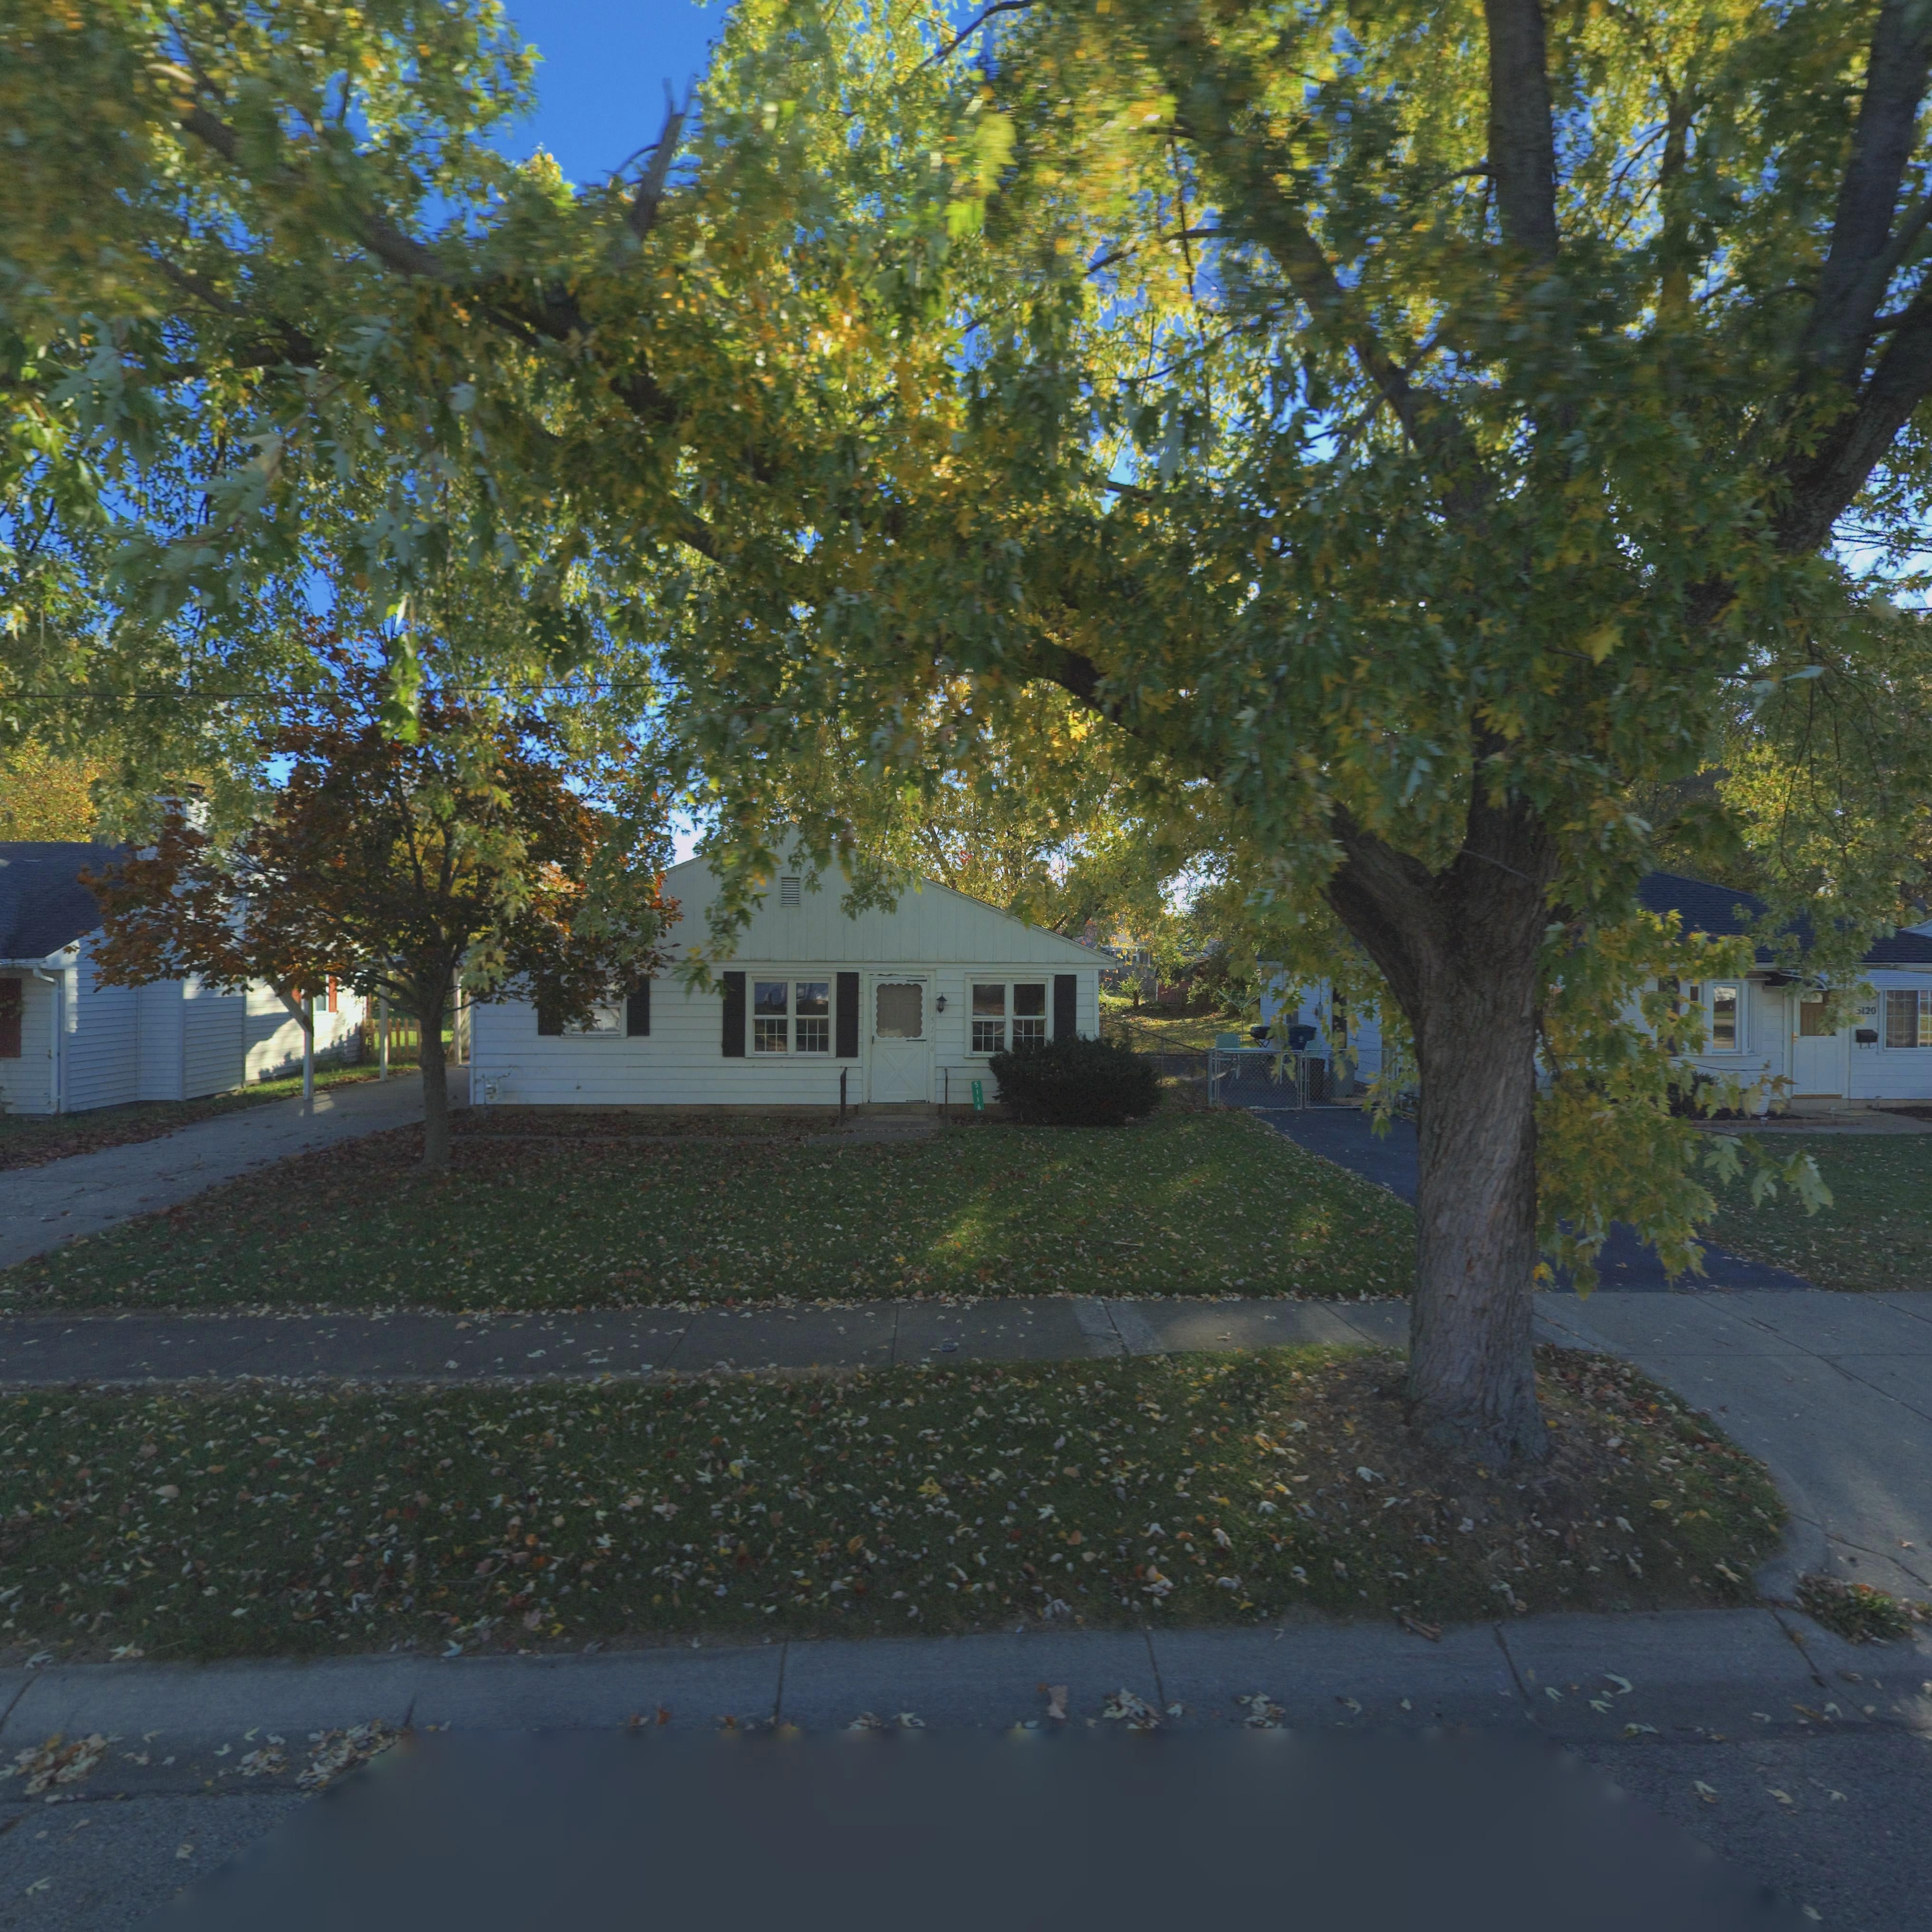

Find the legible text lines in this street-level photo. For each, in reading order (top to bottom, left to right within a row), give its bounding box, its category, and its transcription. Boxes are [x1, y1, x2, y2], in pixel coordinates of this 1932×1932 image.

[1855, 1006, 1877, 1015] StreetNumber: *120
[973, 1081, 982, 1111] StreetNumber: 5116